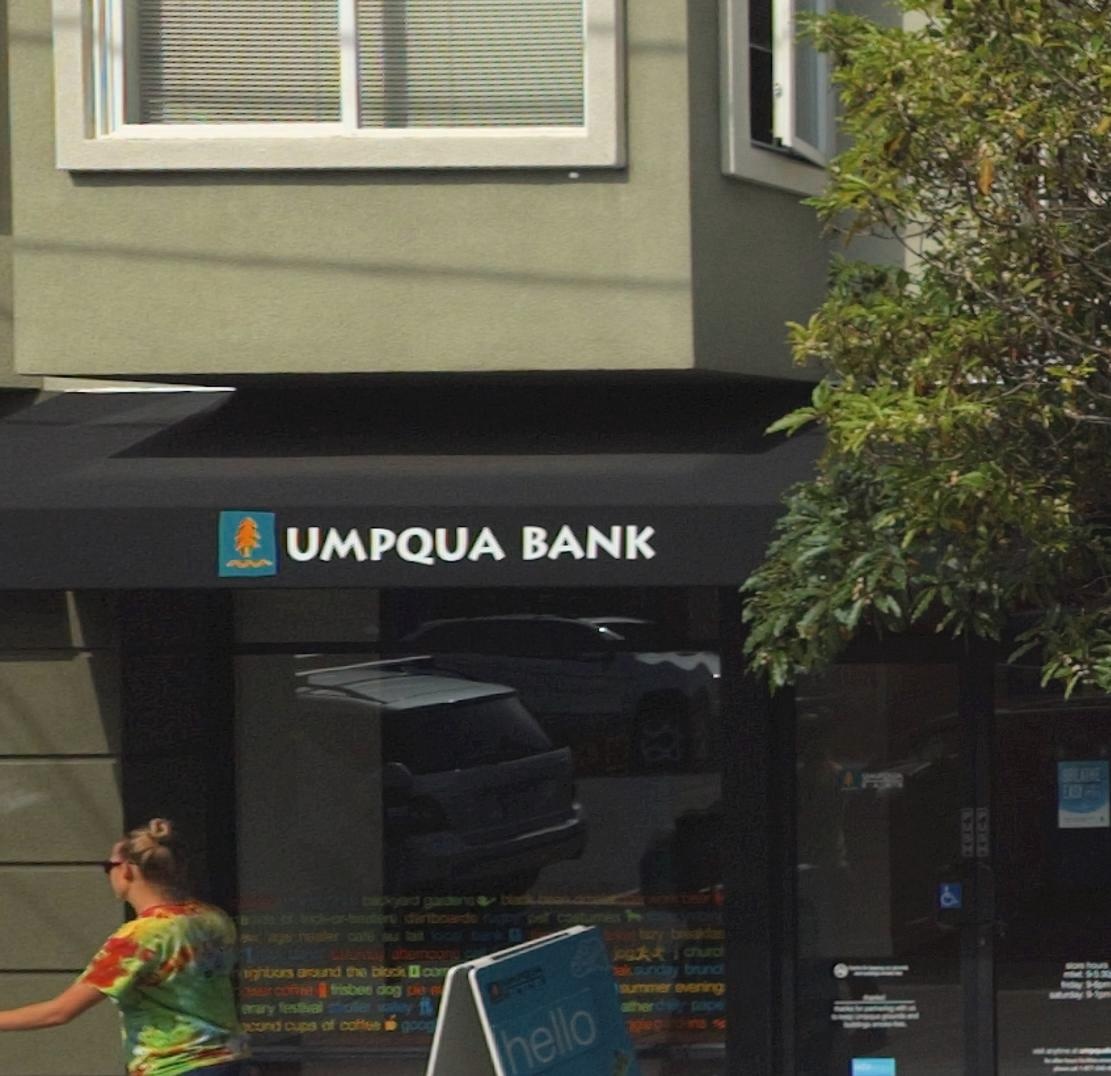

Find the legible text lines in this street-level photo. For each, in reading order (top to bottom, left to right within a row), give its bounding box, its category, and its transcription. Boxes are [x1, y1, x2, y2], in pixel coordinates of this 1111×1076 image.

[285, 523, 658, 566] BusinessName: UMPQUA BANK
[1059, 779, 1085, 800] None: EASY
[1056, 762, 1103, 783] None: BREATHE
[962, 810, 973, 857] None: PUSH
[977, 810, 990, 856] None: PUSH
[493, 1005, 603, 1076] None: HELLO